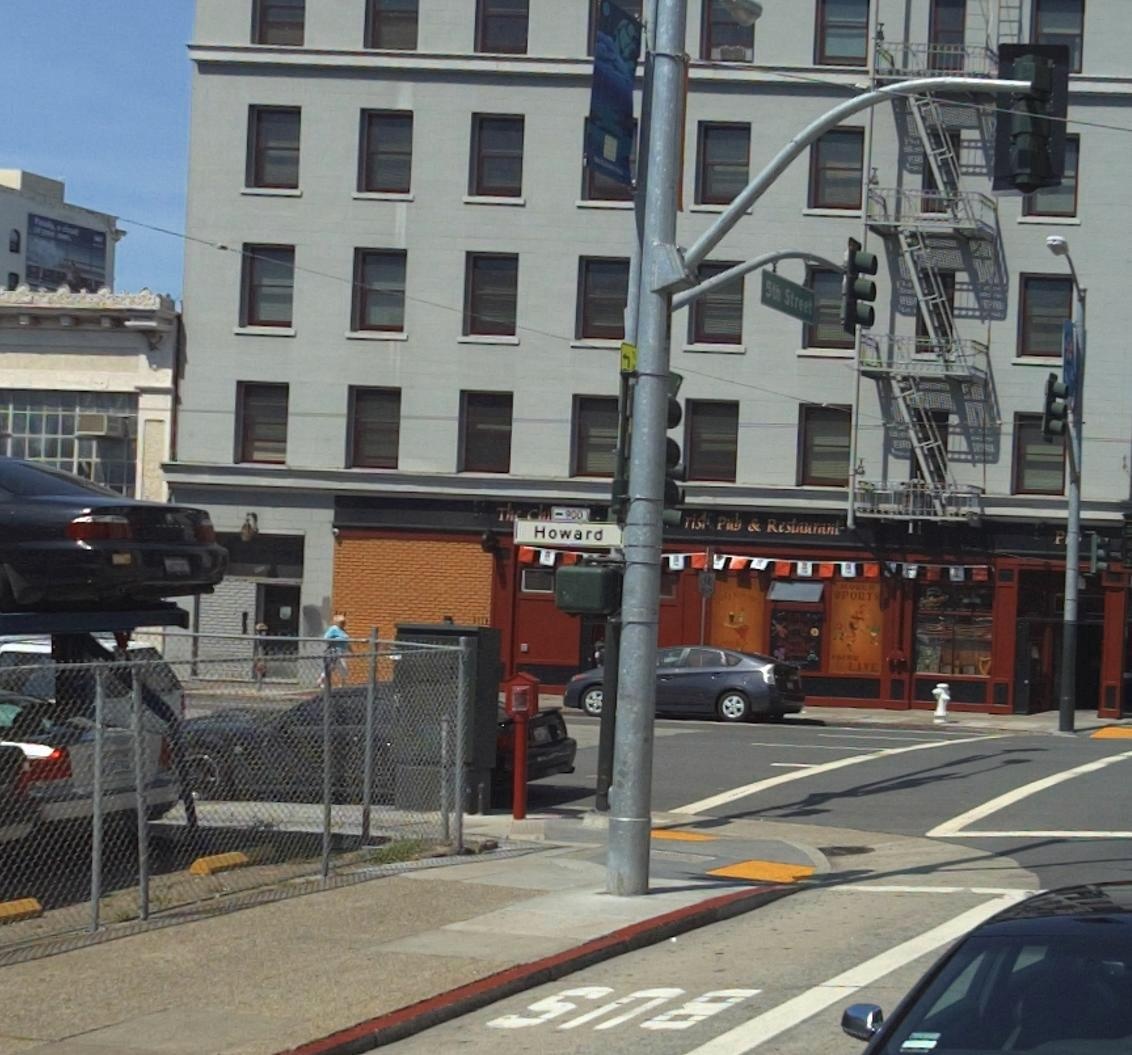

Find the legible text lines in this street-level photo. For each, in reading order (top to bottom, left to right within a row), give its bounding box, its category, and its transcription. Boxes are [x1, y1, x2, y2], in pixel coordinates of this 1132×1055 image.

[763, 276, 815, 320] StreetName: 5th Street
[495, 502, 523, 522] None: The
[553, 509, 584, 519] StreetNumberRange: <-900
[713, 511, 843, 538] BusinessName: Pub & Restaurant
[532, 525, 604, 542] StreetName: Howard
[1053, 529, 1065, 546] None: P
[833, 590, 874, 602] None: SPORT
[847, 661, 880, 673] None: LIVE